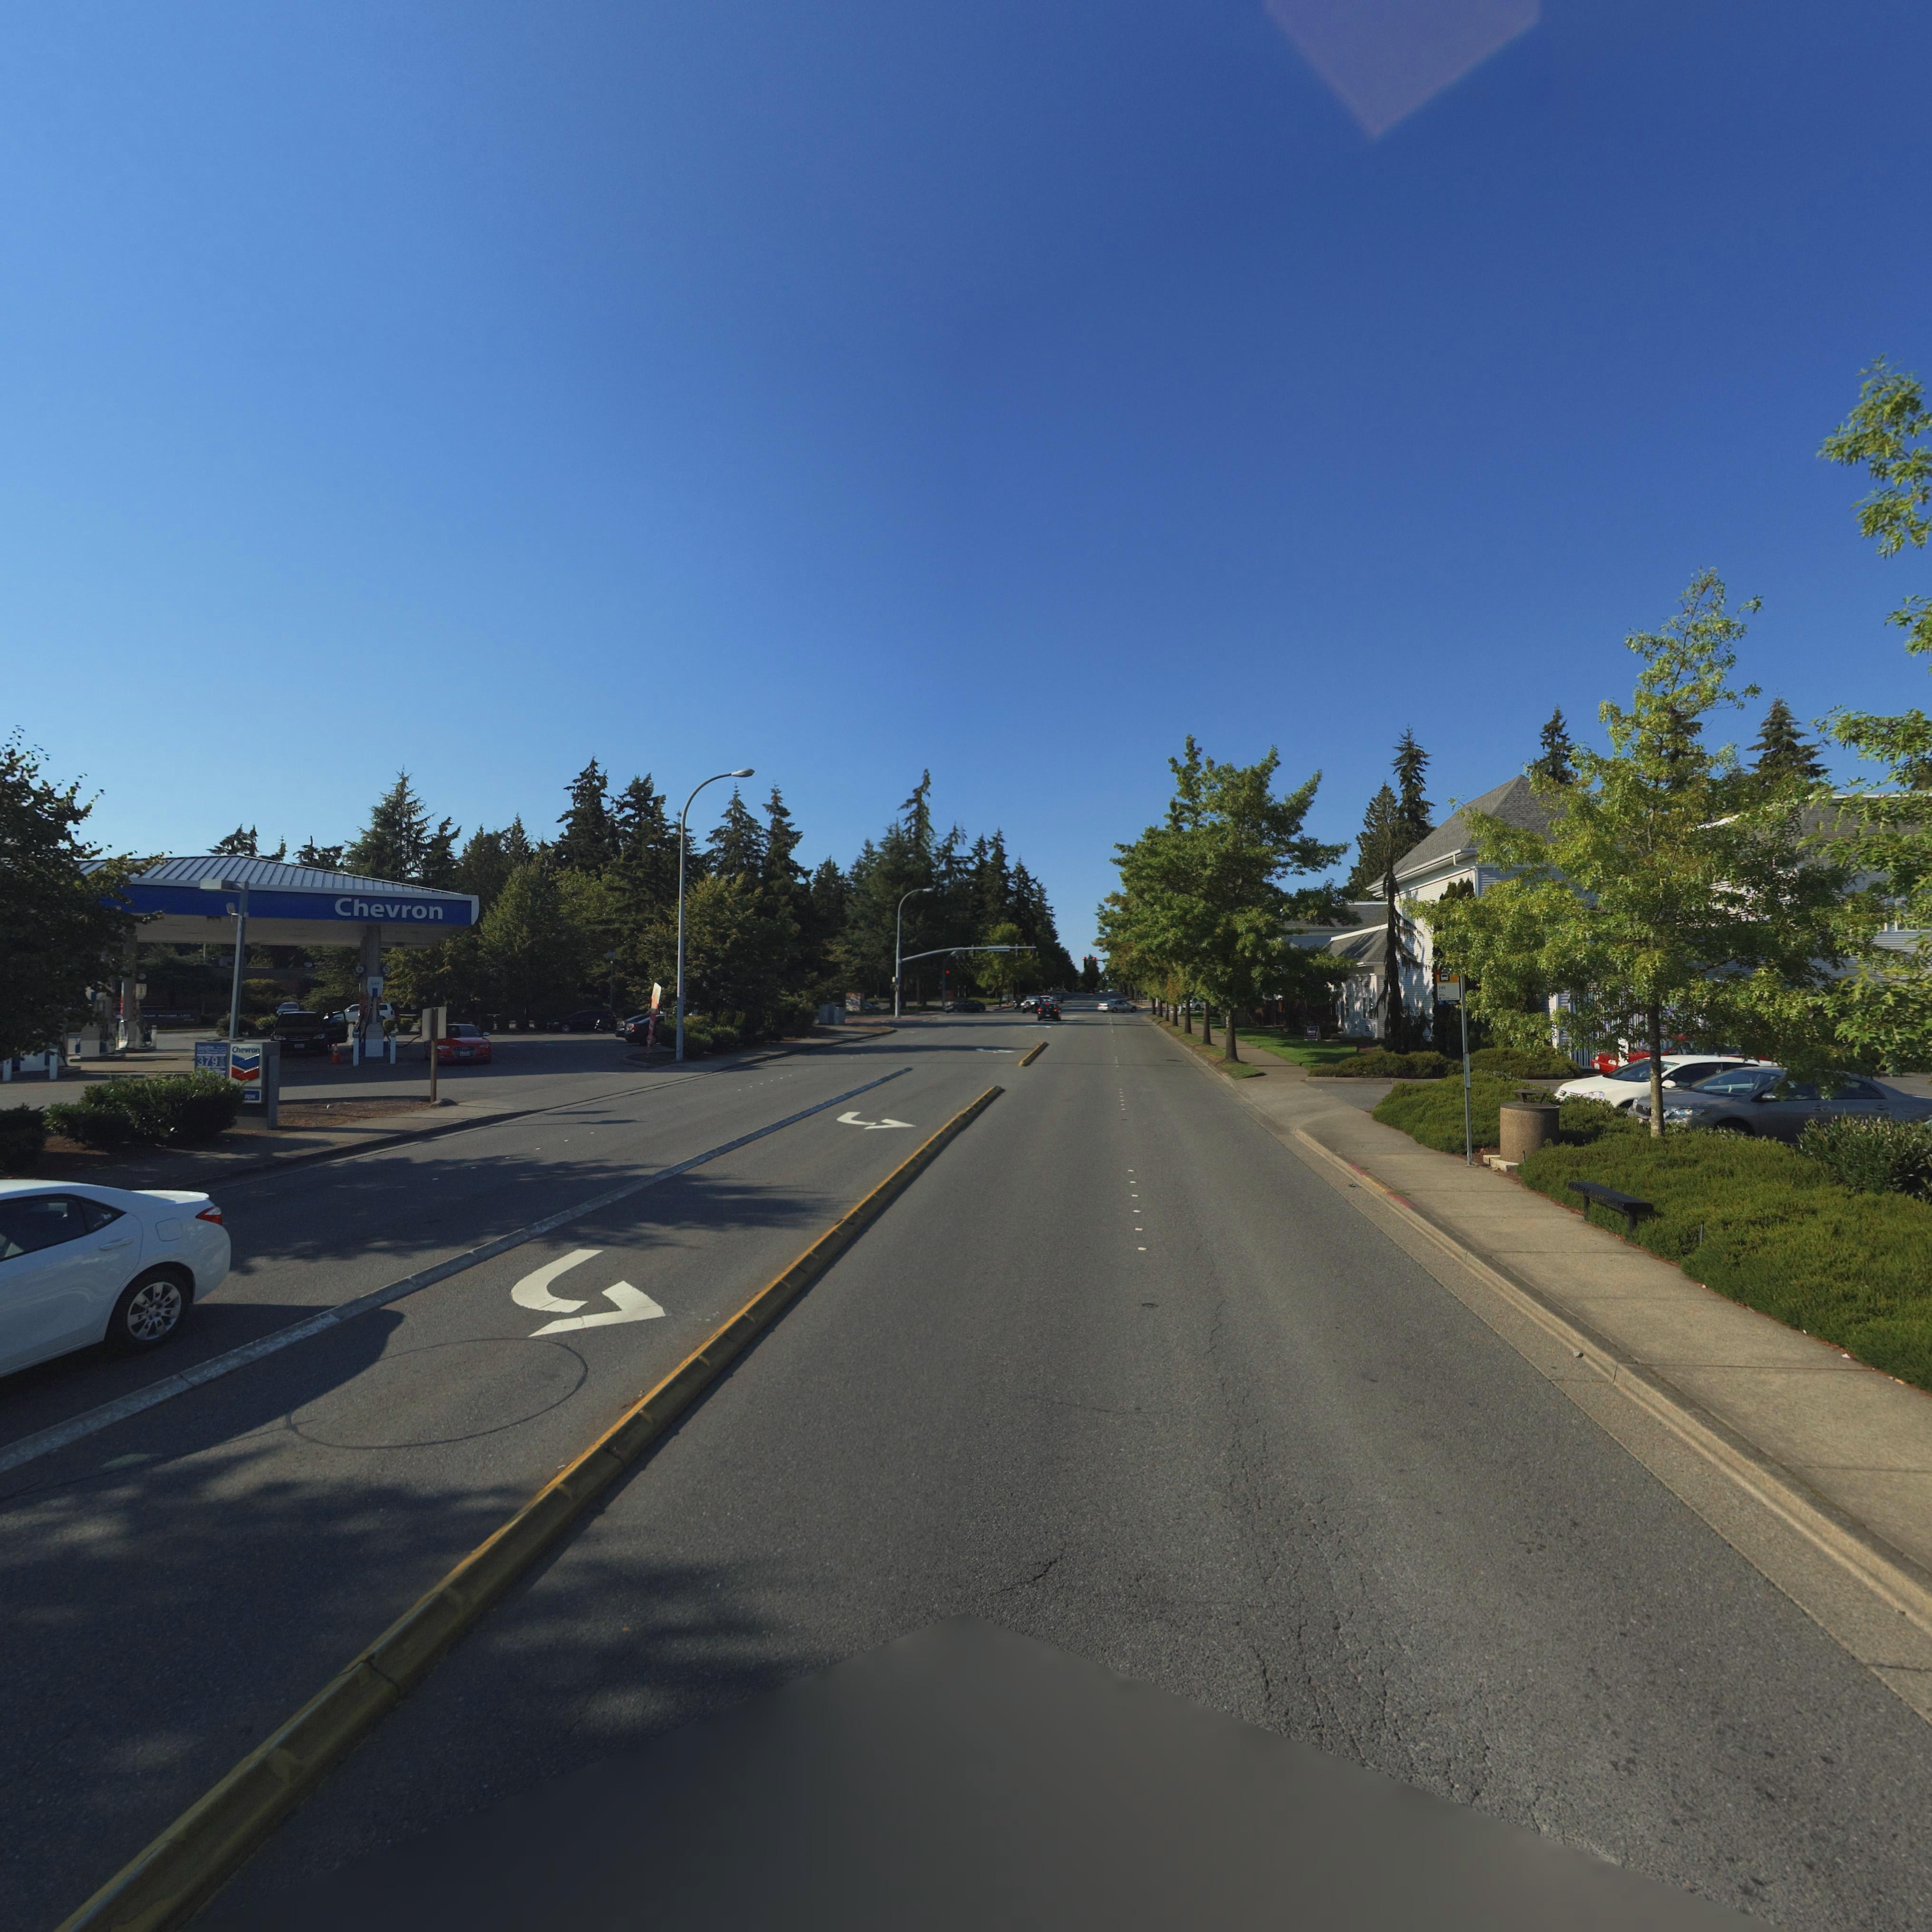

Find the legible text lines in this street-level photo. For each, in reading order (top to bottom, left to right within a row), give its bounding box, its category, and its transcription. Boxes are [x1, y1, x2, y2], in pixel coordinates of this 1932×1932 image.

[334, 897, 442, 919] BusinessName: Chevron
[232, 1046, 261, 1053] BusinessName: Chevron